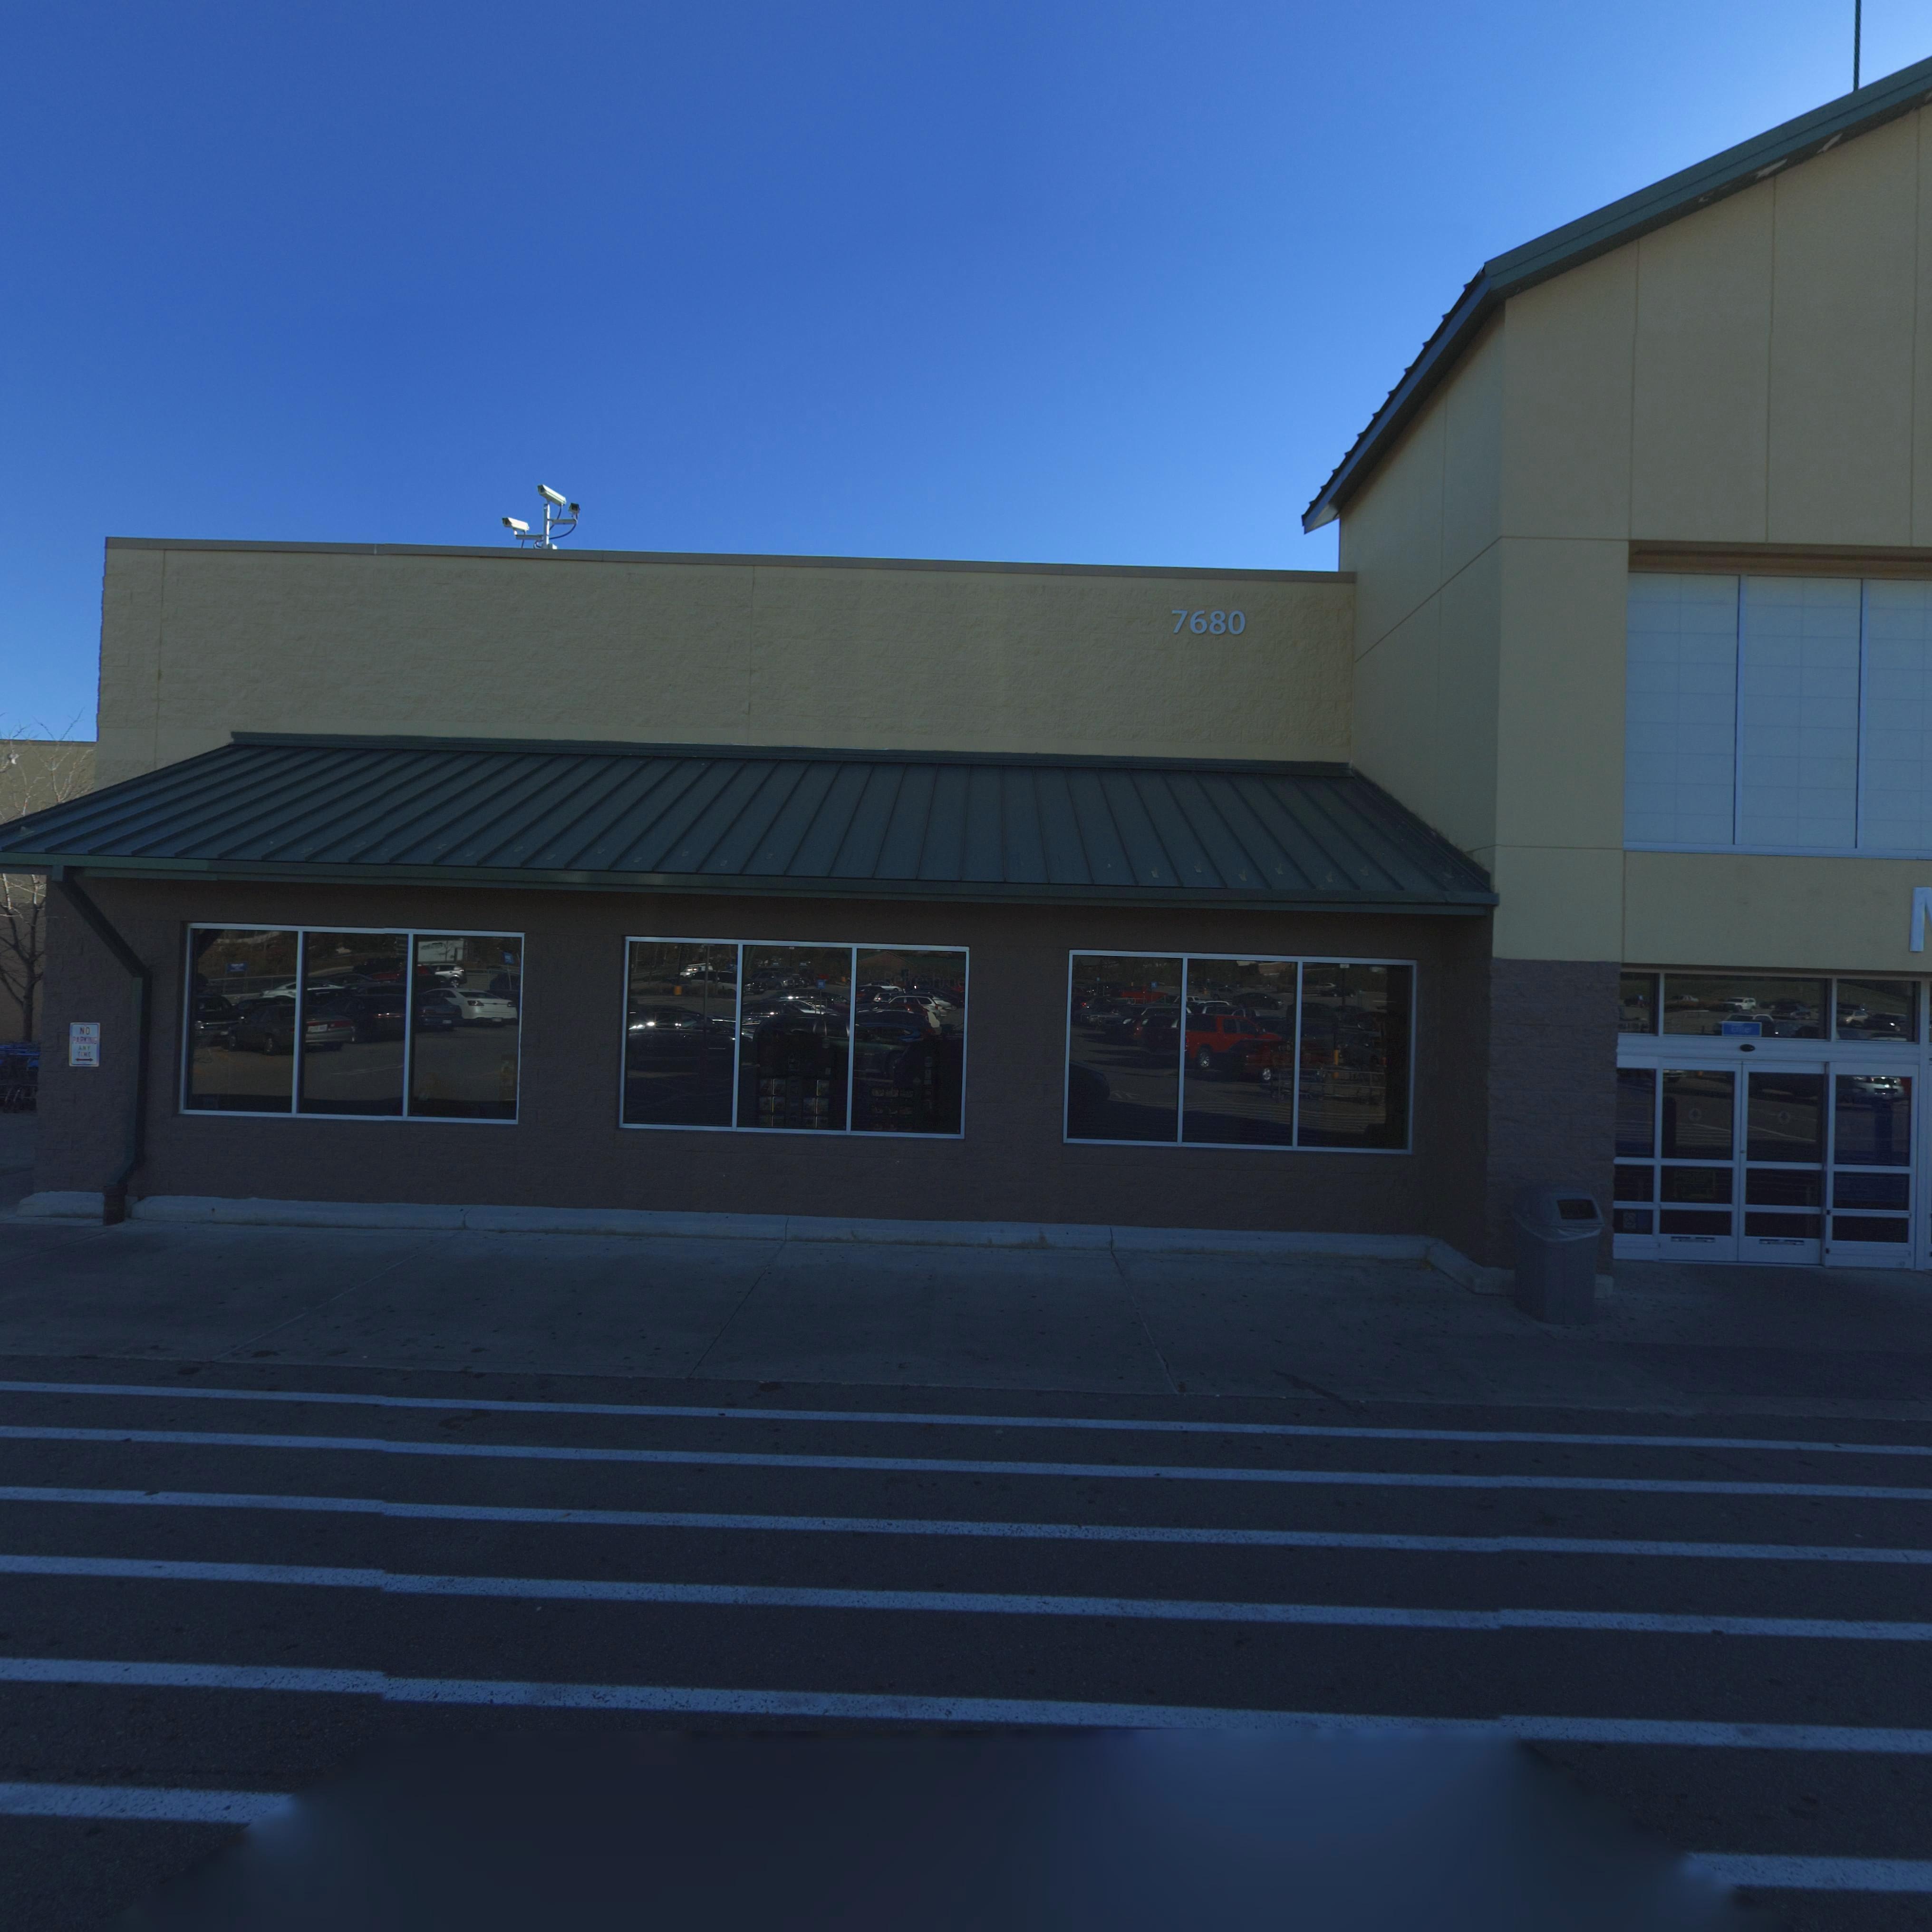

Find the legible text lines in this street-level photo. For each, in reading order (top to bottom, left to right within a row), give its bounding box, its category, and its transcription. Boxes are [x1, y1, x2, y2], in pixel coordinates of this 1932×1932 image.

[1170, 609, 1248, 637] StreetNumber: 7680